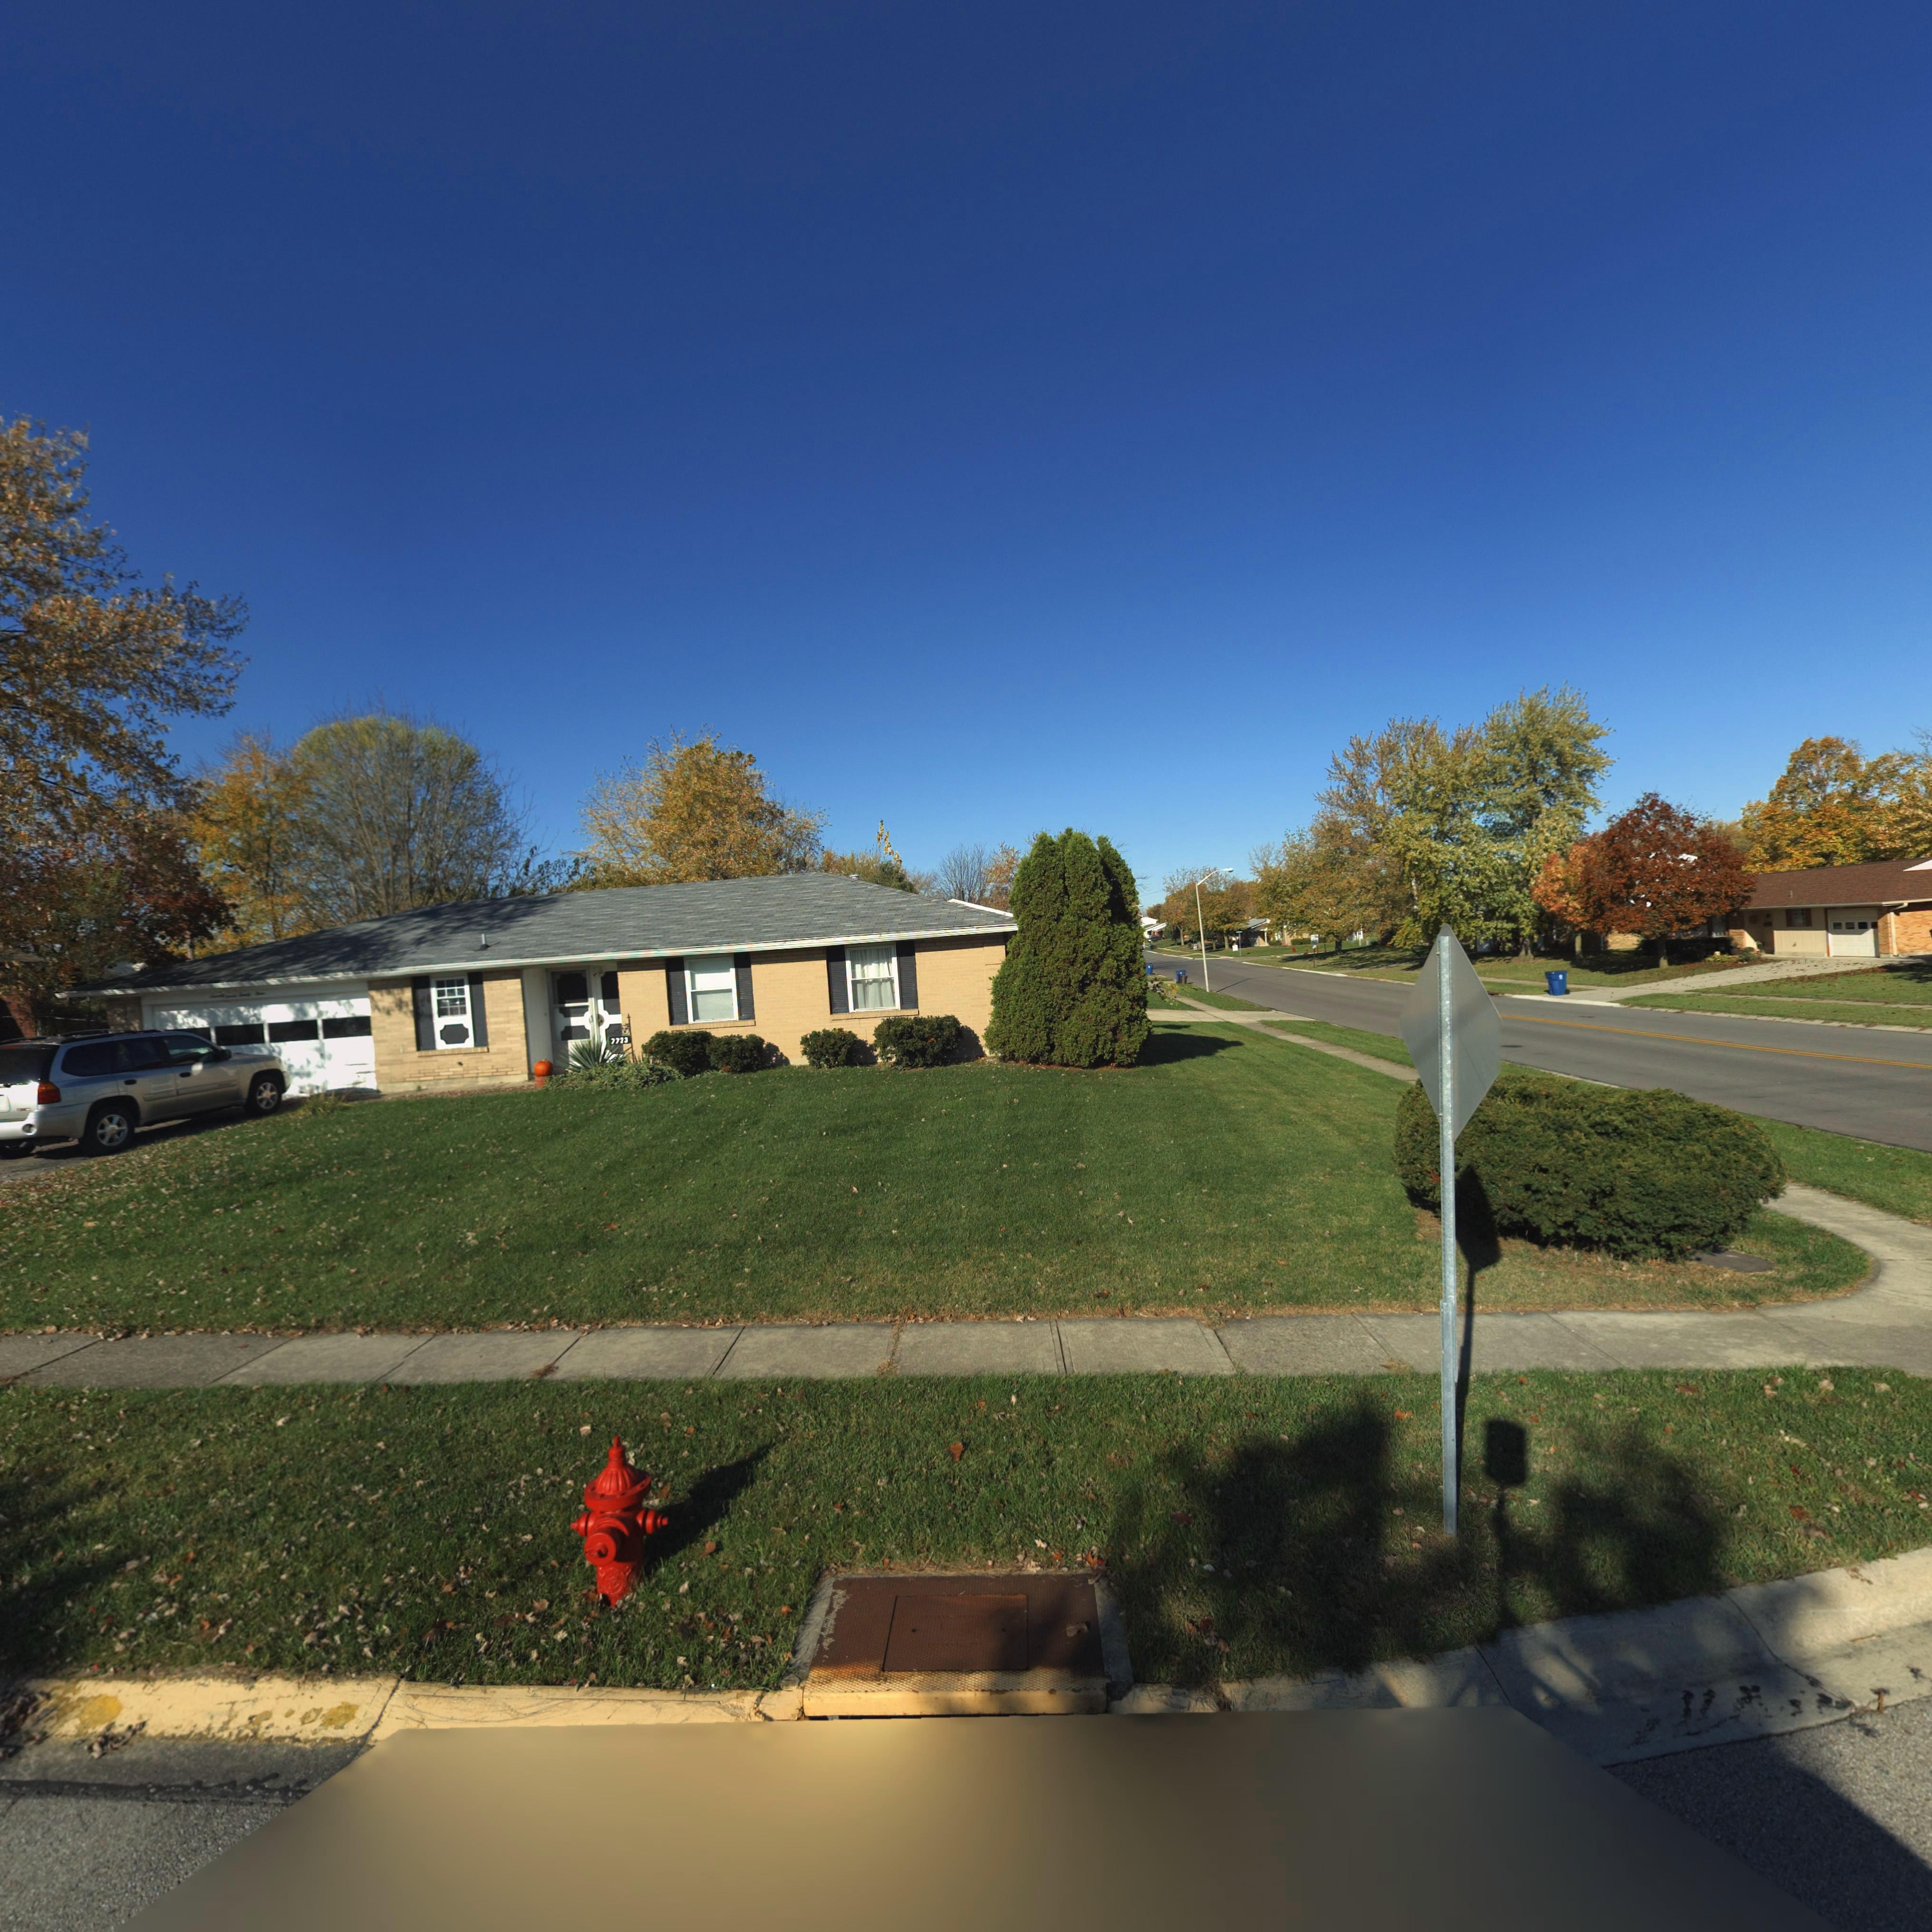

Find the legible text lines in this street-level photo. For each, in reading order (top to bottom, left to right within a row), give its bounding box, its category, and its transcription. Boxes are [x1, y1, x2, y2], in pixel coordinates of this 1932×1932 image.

[609, 1035, 629, 1045] StreetNumber: 7723